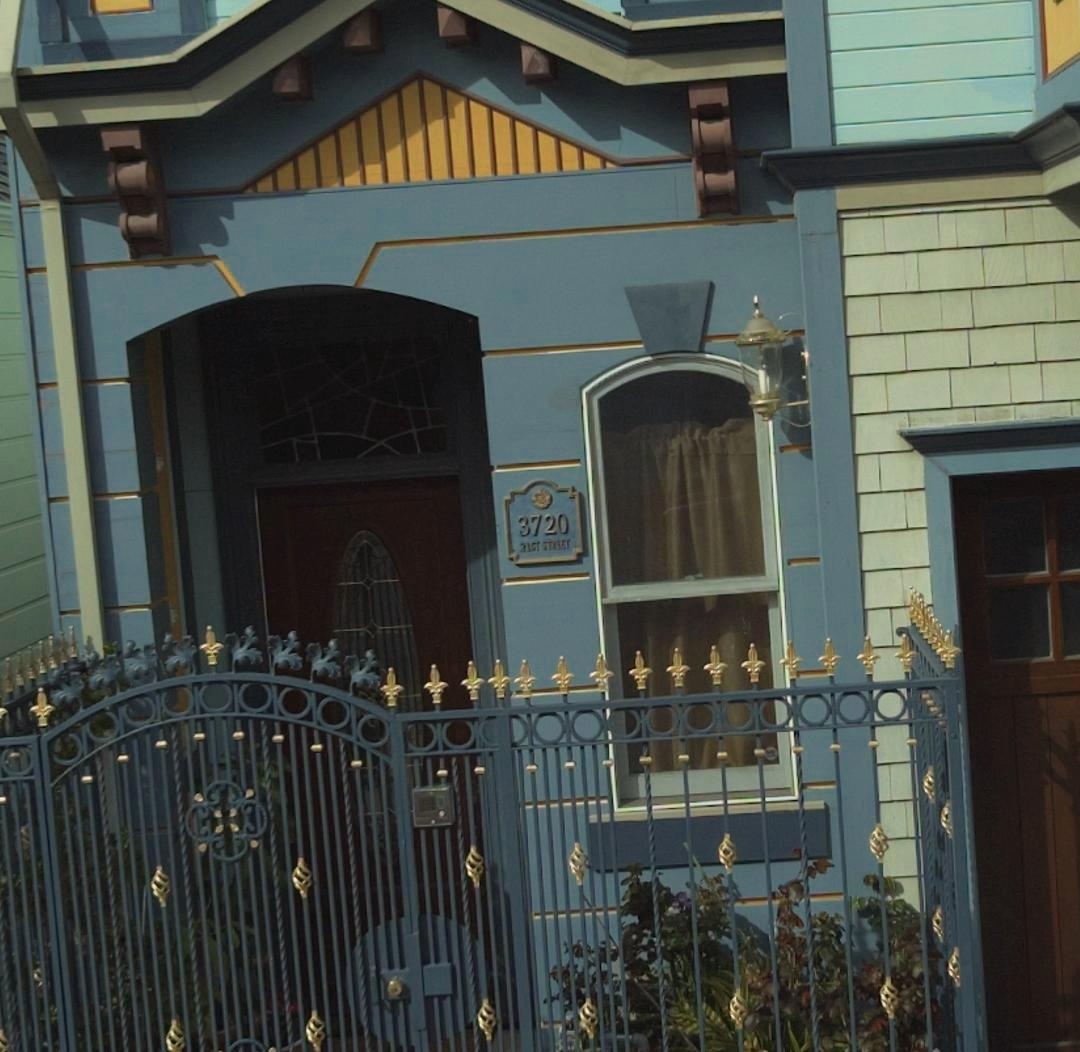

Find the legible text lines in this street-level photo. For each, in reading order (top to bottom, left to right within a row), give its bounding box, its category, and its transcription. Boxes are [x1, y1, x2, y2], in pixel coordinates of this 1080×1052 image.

[516, 512, 570, 537] StreetNumber: 3720
[519, 538, 573, 554] StreetName: 31ST STREET